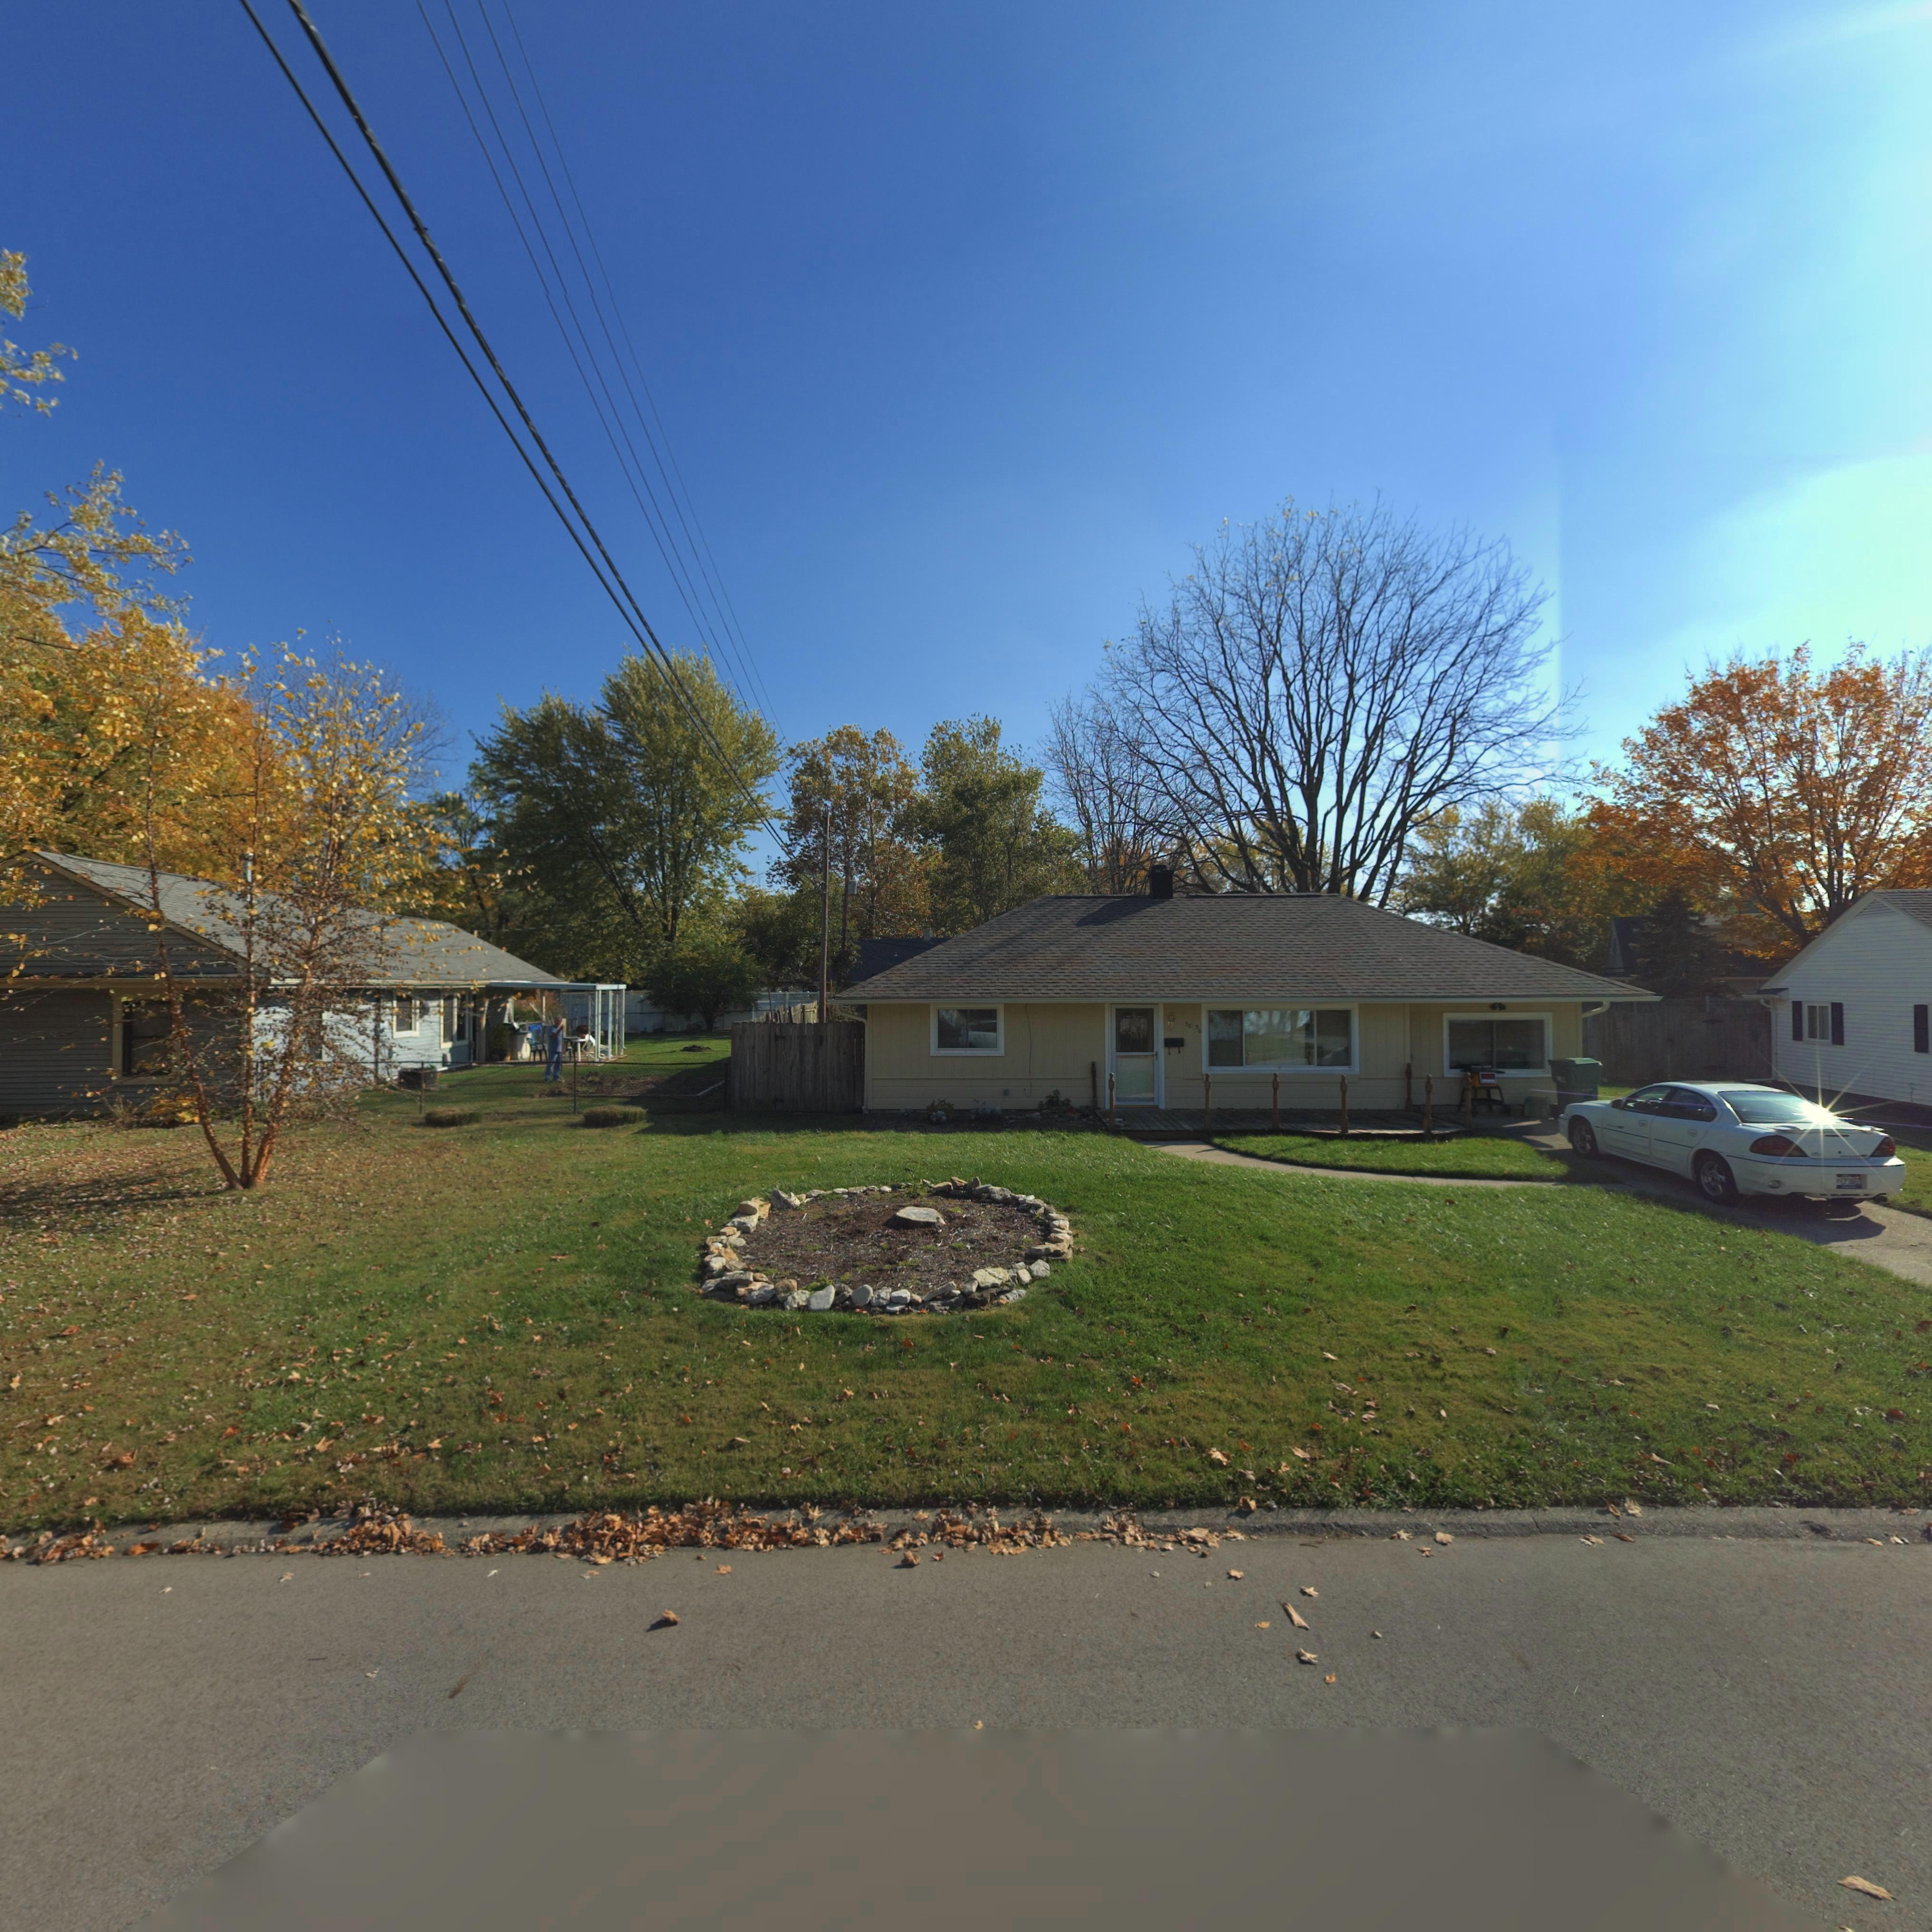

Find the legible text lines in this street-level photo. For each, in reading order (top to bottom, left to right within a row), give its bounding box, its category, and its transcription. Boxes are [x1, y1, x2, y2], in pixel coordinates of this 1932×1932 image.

[1184, 1021, 1202, 1034] StreetNumber: 38 50